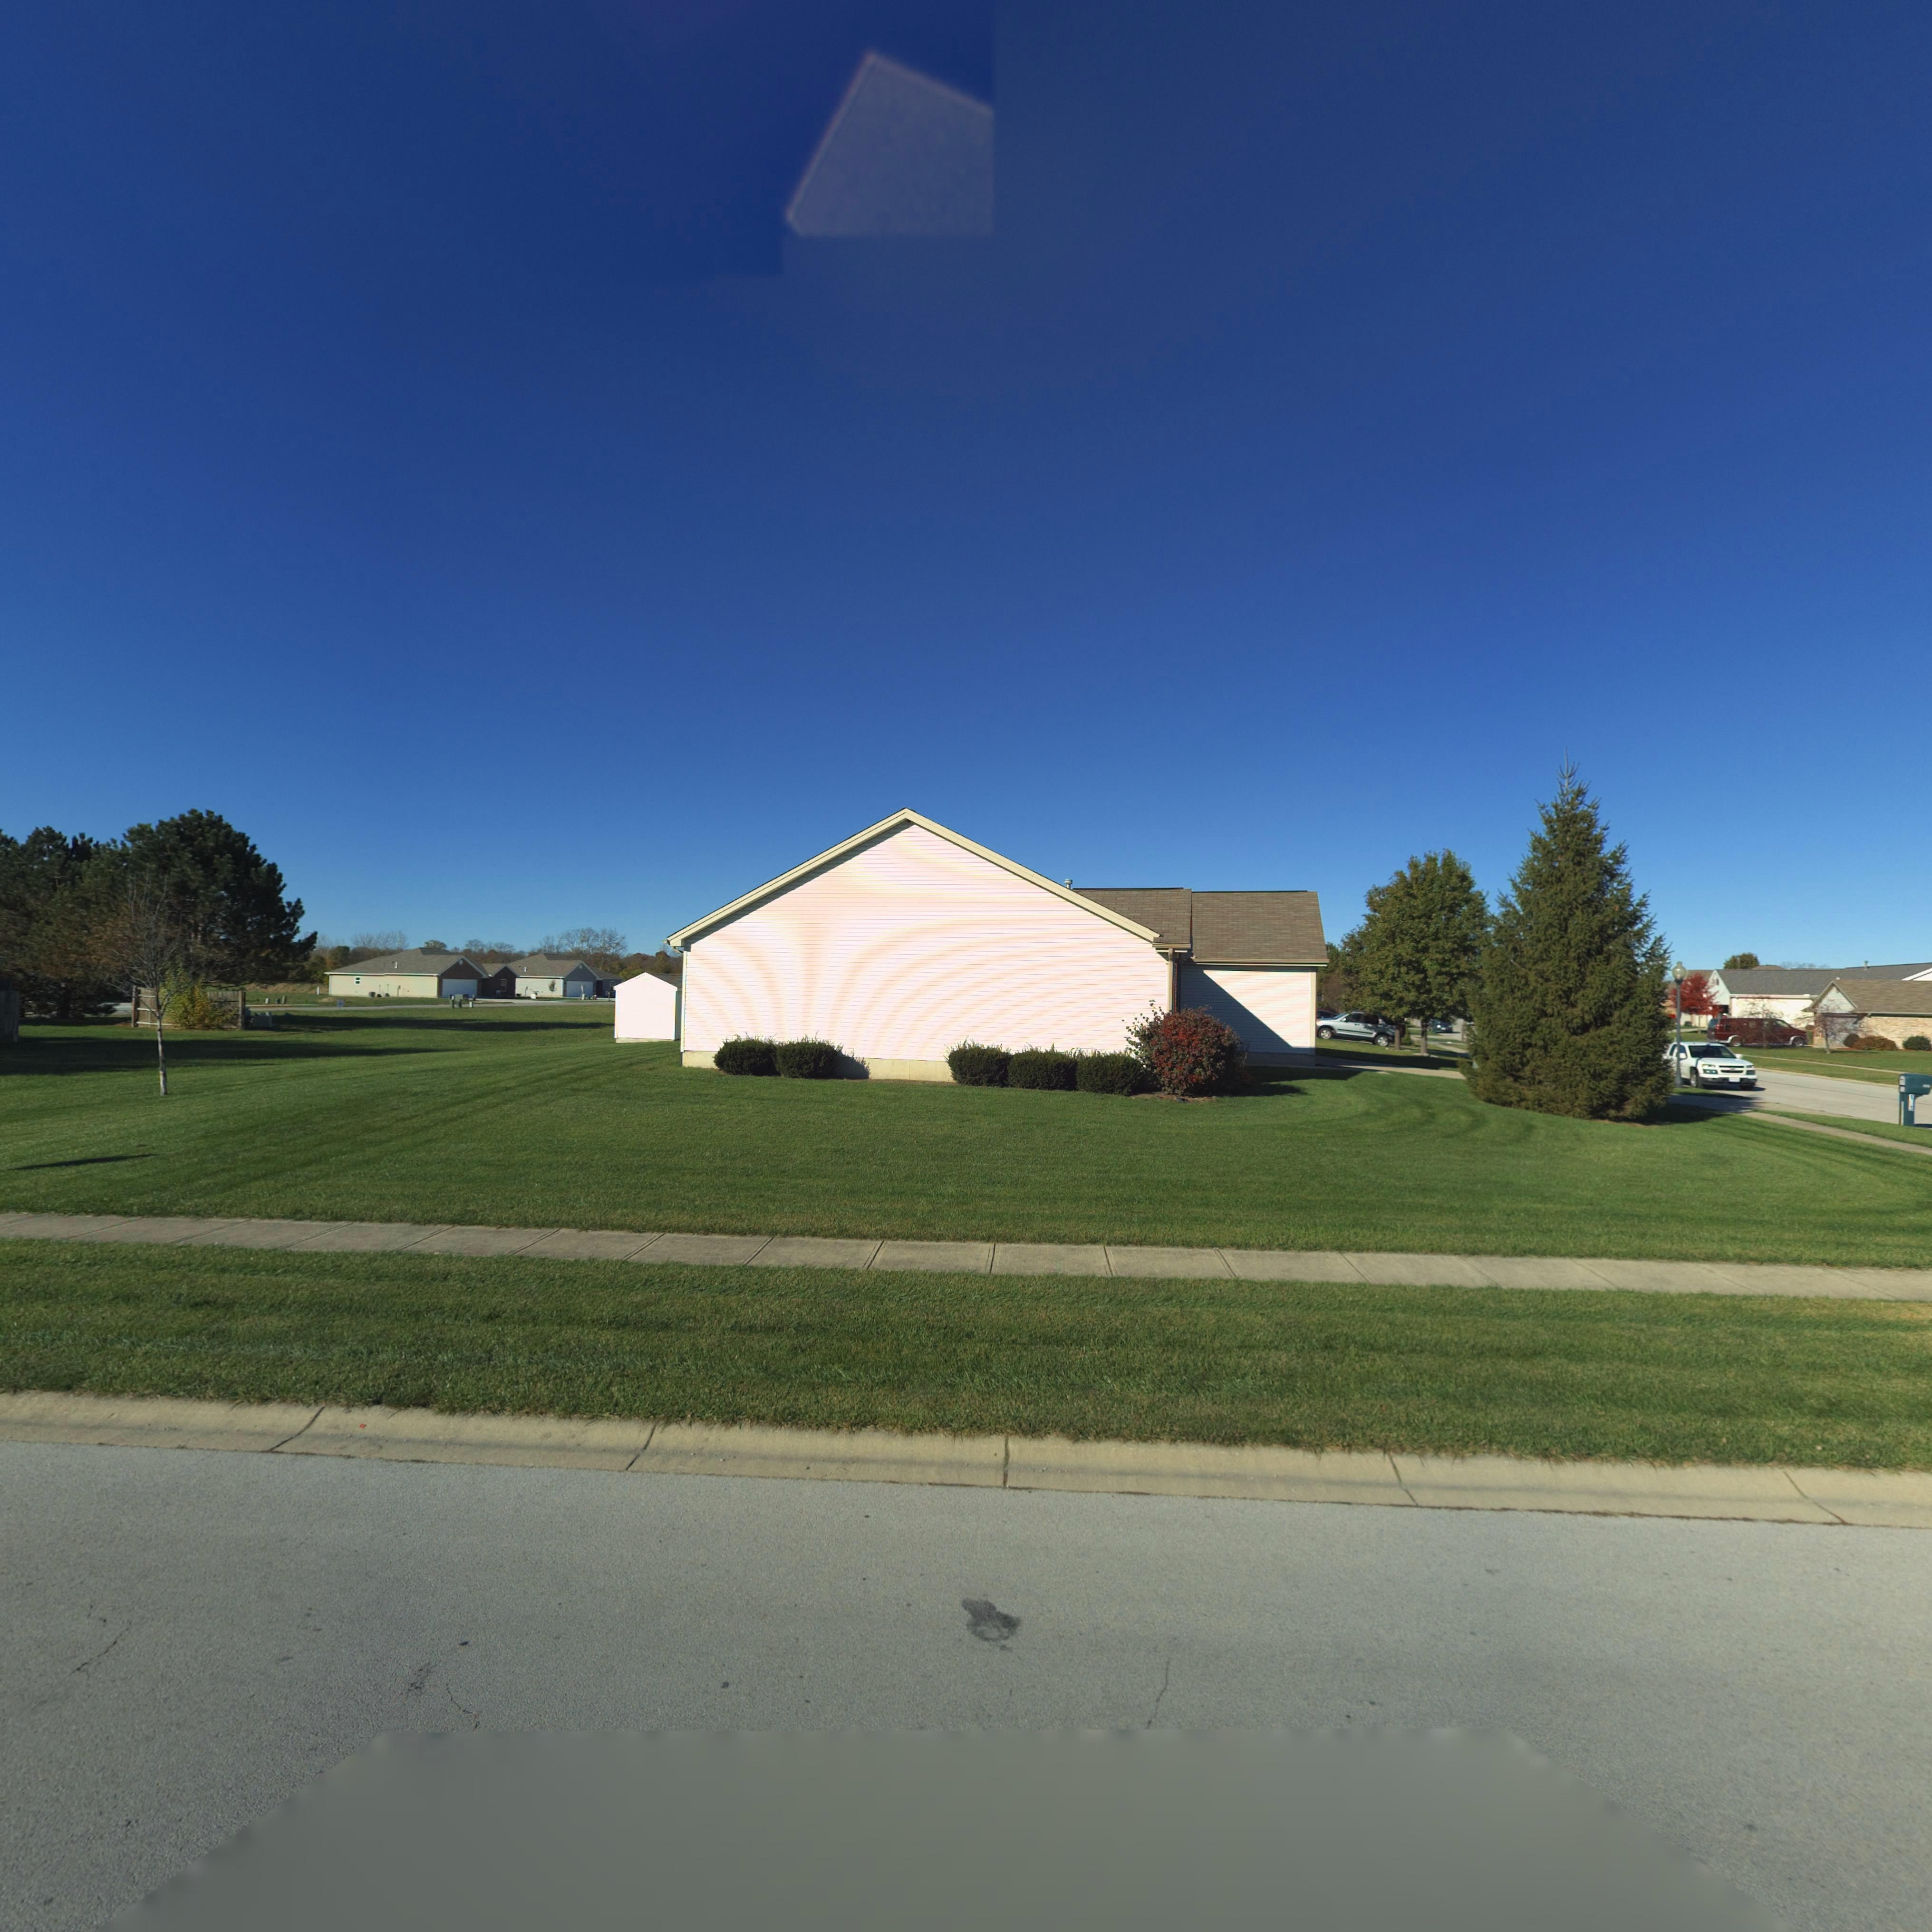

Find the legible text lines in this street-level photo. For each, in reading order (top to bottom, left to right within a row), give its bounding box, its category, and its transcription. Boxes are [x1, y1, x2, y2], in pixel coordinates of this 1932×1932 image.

[1909, 1094, 1913, 1111] StreetNumber: 1**